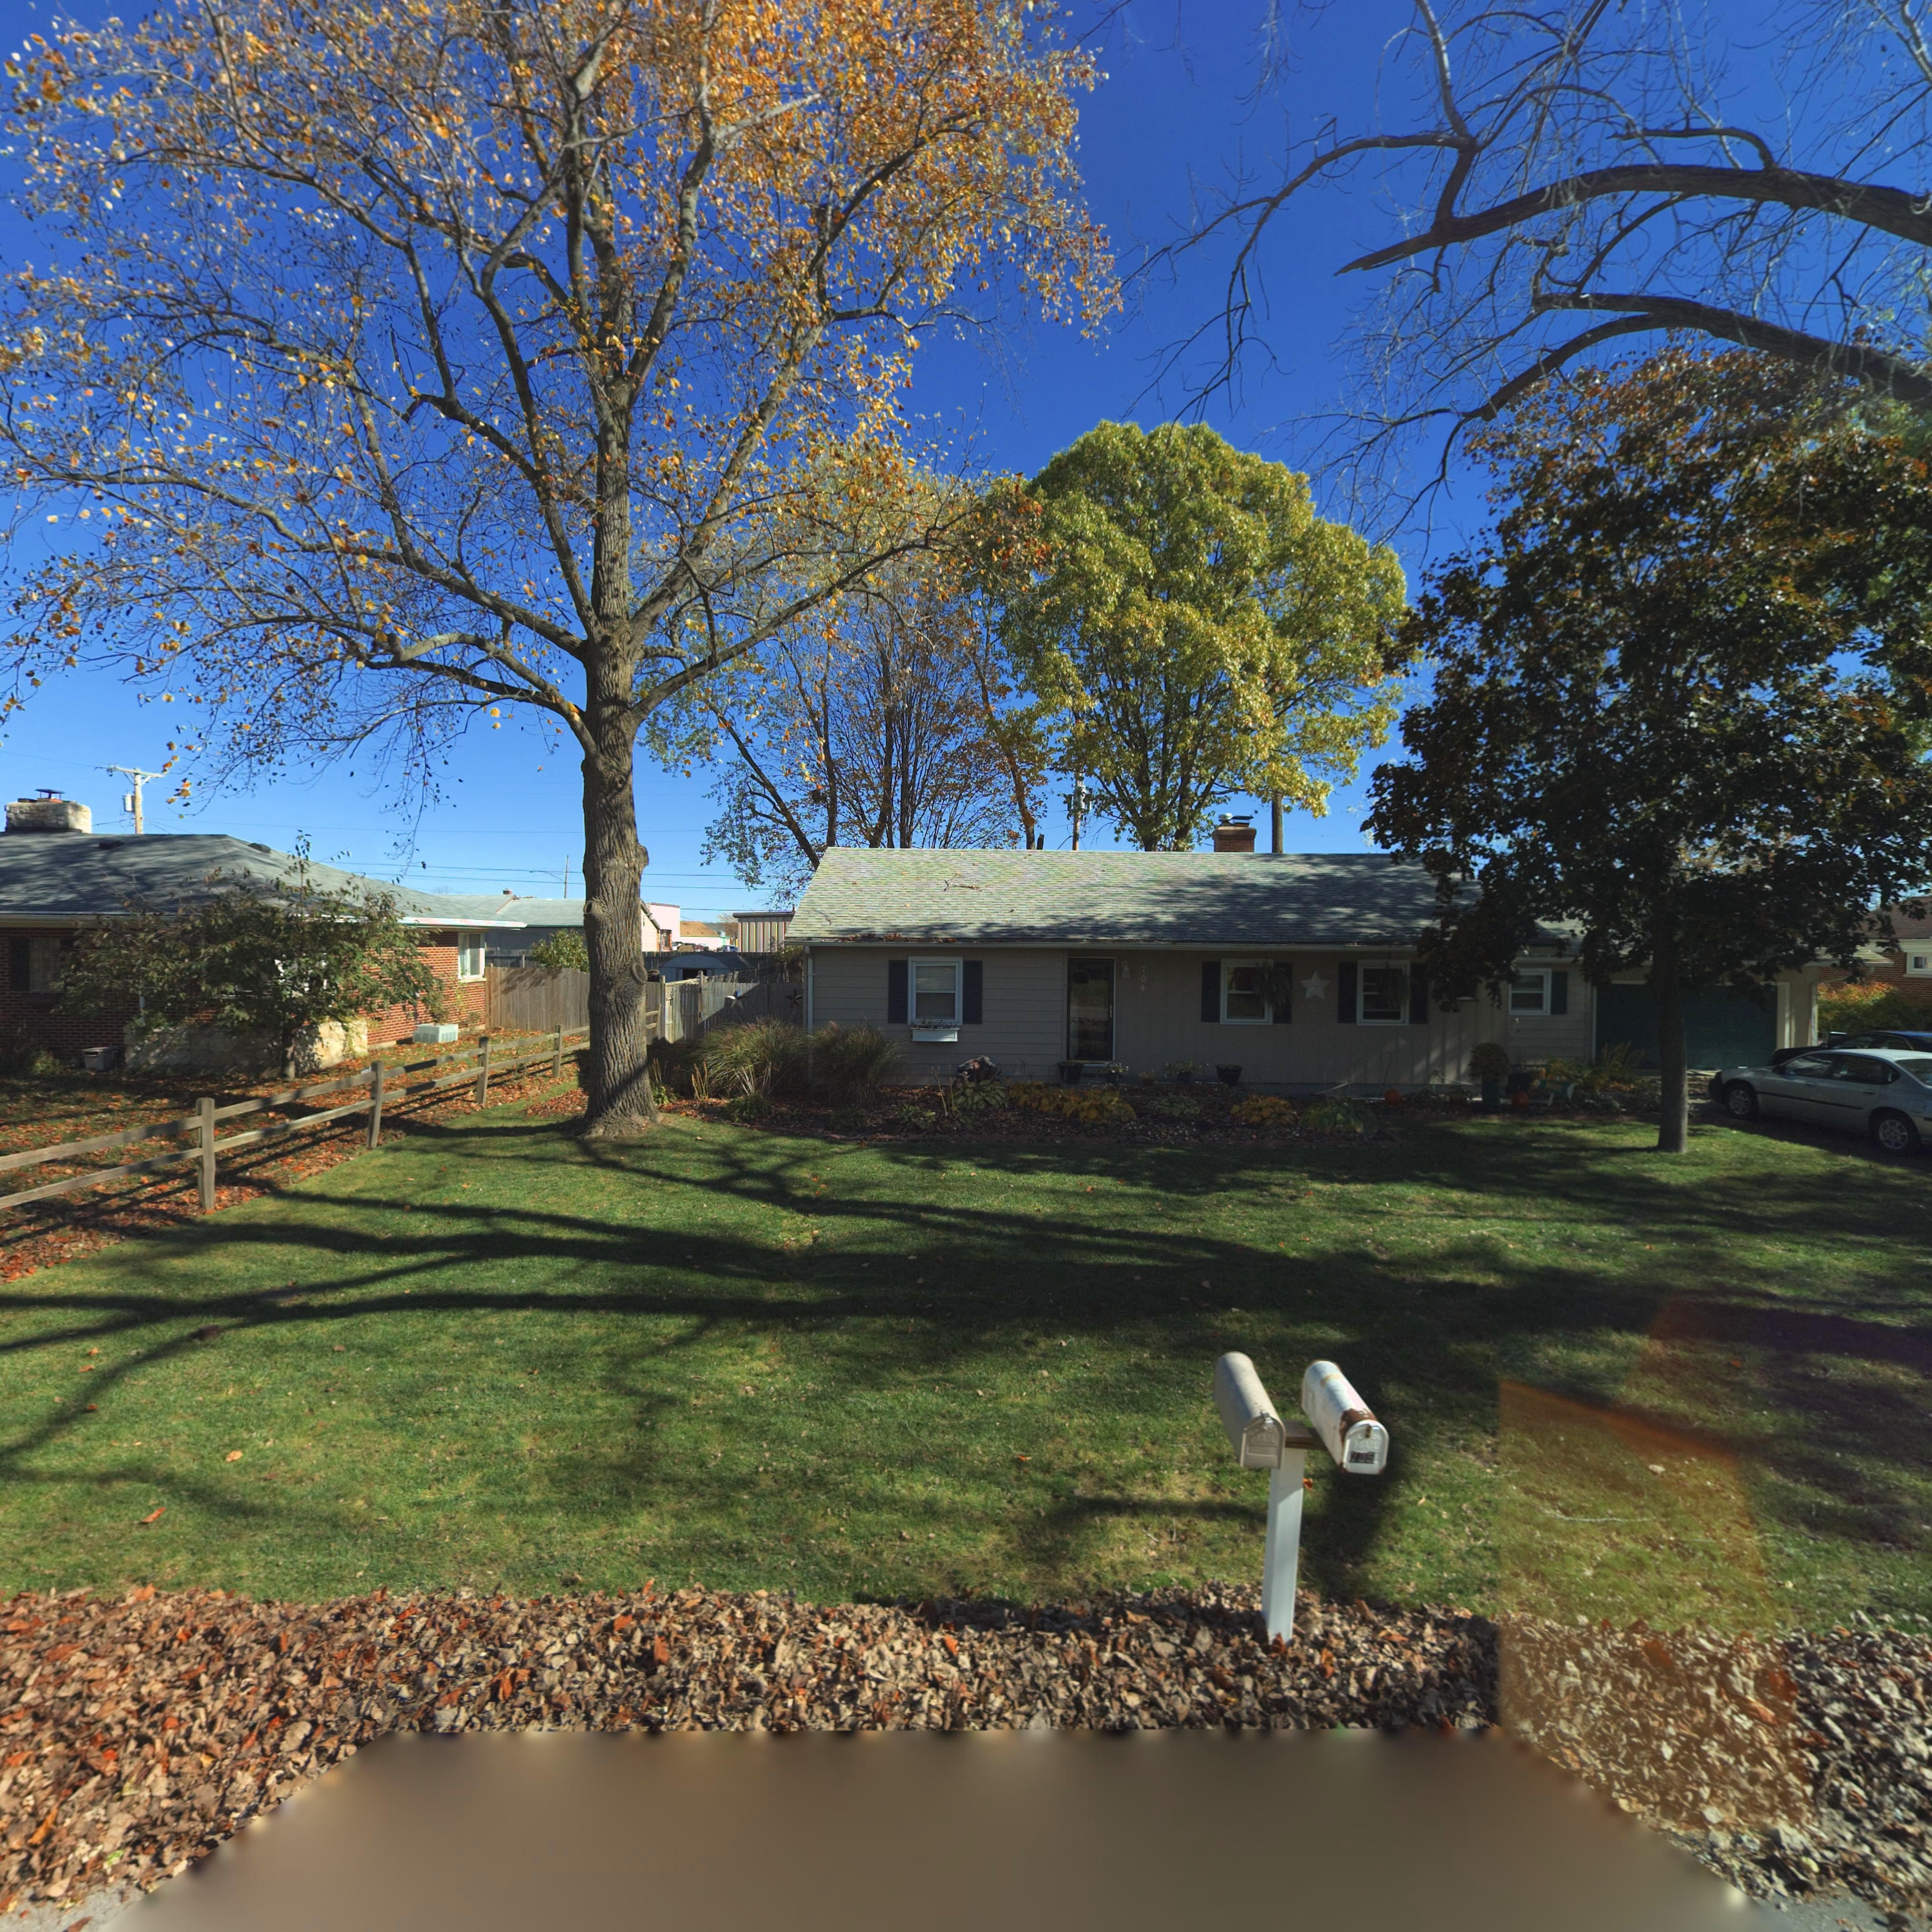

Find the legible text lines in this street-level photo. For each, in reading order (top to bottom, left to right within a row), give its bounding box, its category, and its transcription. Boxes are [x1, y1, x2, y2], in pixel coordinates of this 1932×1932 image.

[1140, 965, 1146, 992] StreetNumber: 704
[1350, 1450, 1375, 1464] StreetNumber: 705